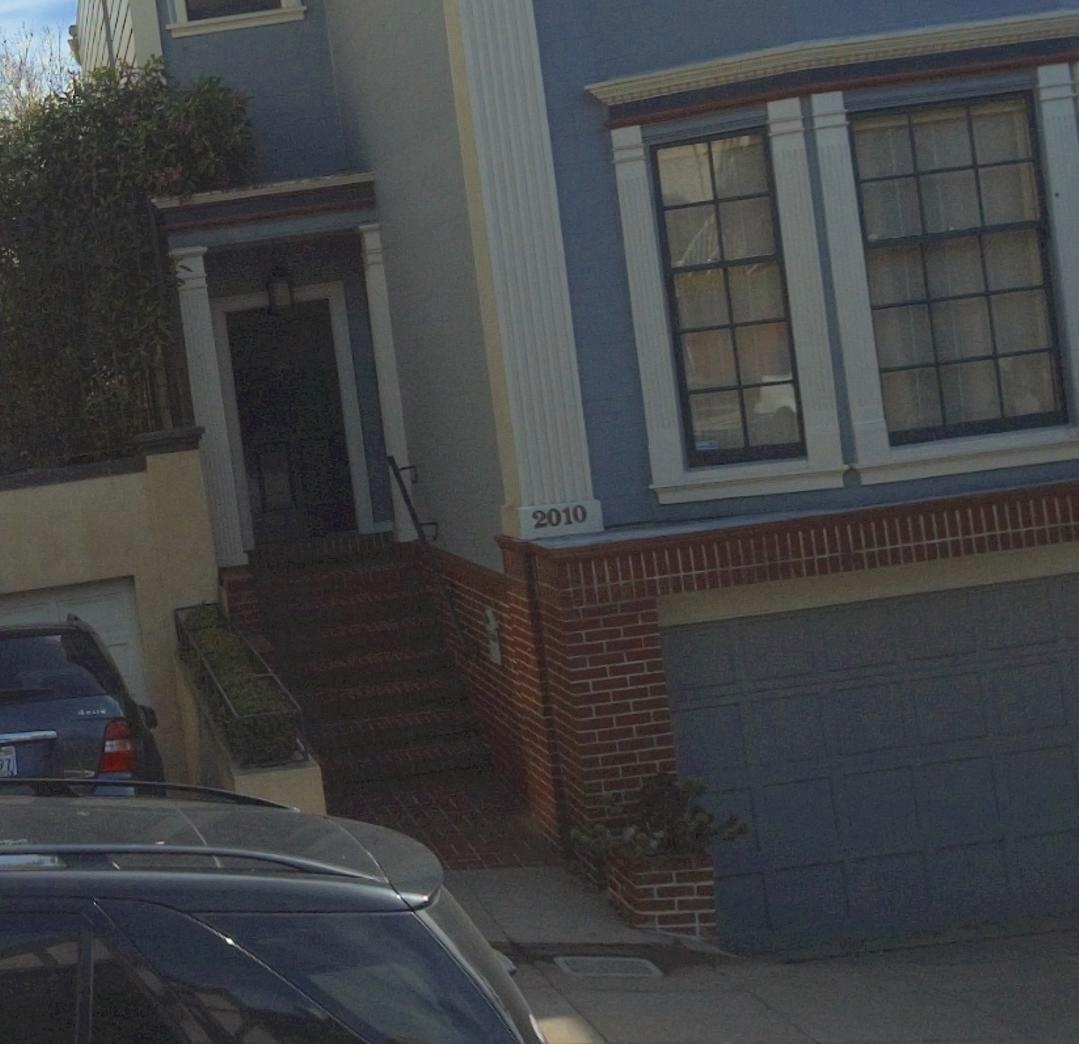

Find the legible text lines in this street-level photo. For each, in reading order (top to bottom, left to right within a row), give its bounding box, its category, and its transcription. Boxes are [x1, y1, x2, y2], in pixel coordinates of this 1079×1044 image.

[529, 501, 590, 532] StreetNumber: 2010
[3, 755, 13, 773] None: 7